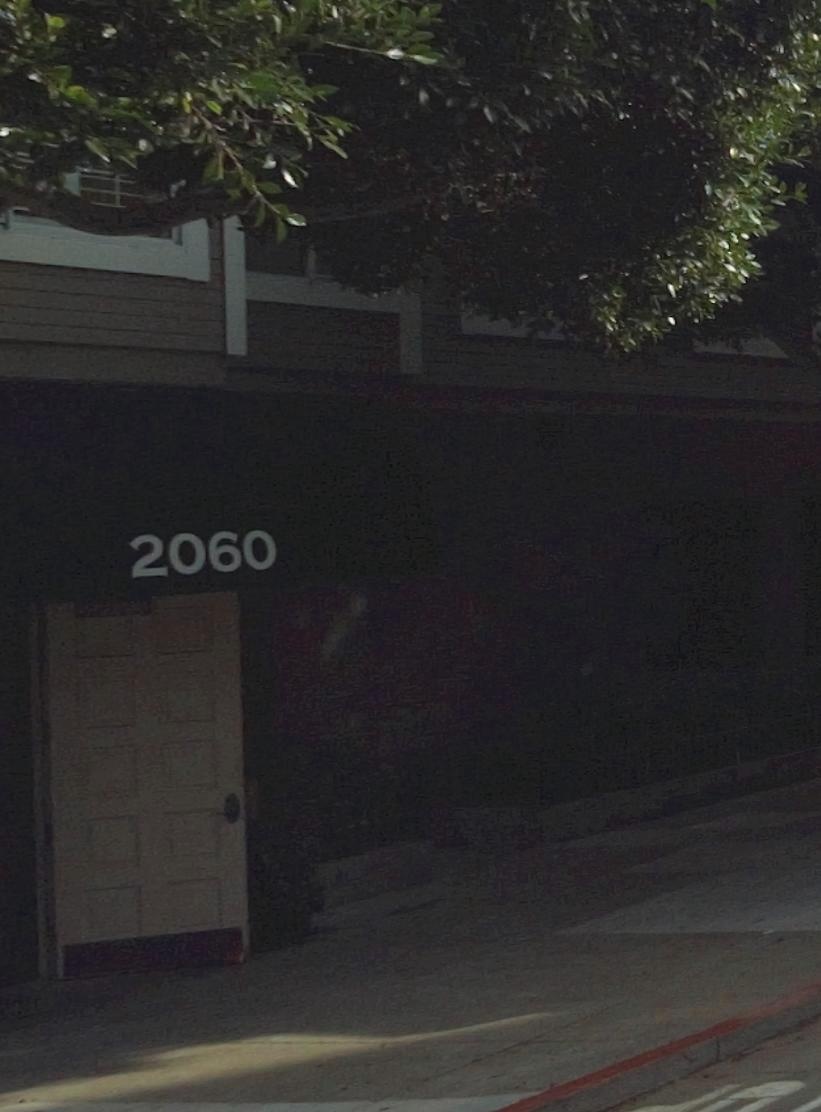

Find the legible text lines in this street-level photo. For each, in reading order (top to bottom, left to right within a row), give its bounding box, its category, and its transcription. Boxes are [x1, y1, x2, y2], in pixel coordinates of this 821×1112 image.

[125, 523, 282, 584] StreetNumber: 2060